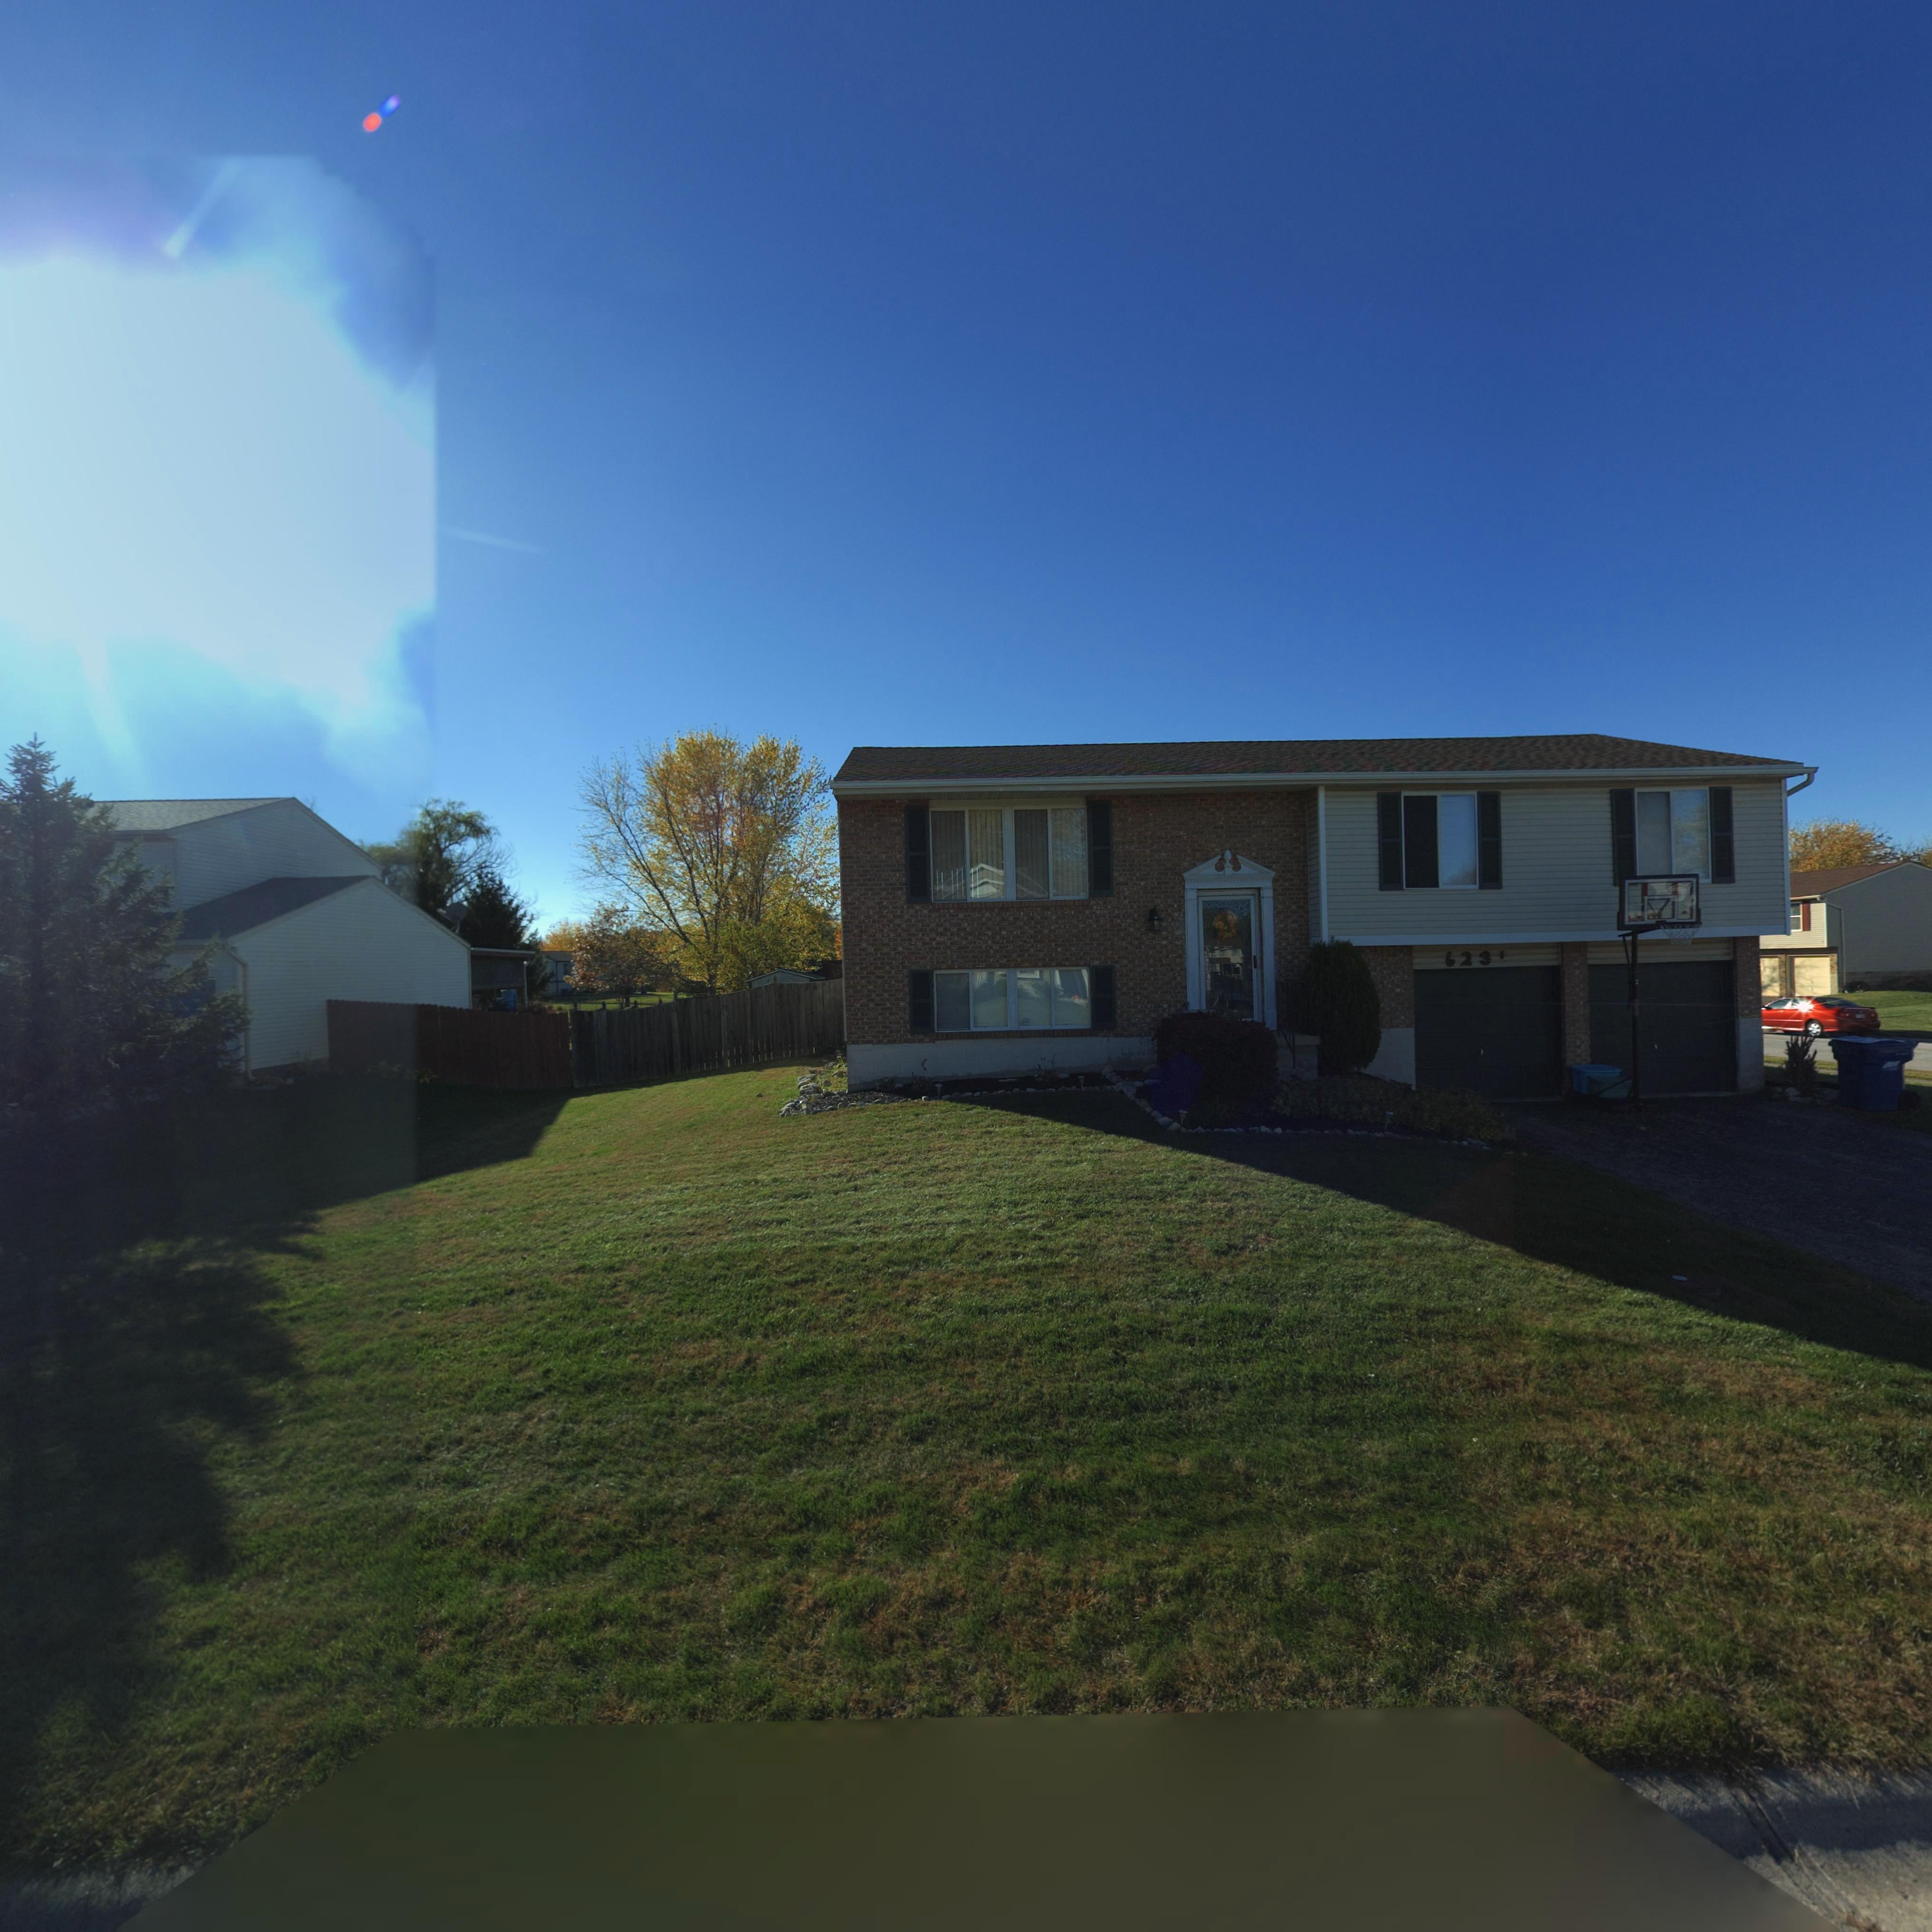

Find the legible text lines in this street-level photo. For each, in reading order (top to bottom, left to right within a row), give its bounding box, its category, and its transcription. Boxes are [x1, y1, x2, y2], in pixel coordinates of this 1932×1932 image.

[1444, 948, 1506, 969] StreetNumber: 623*